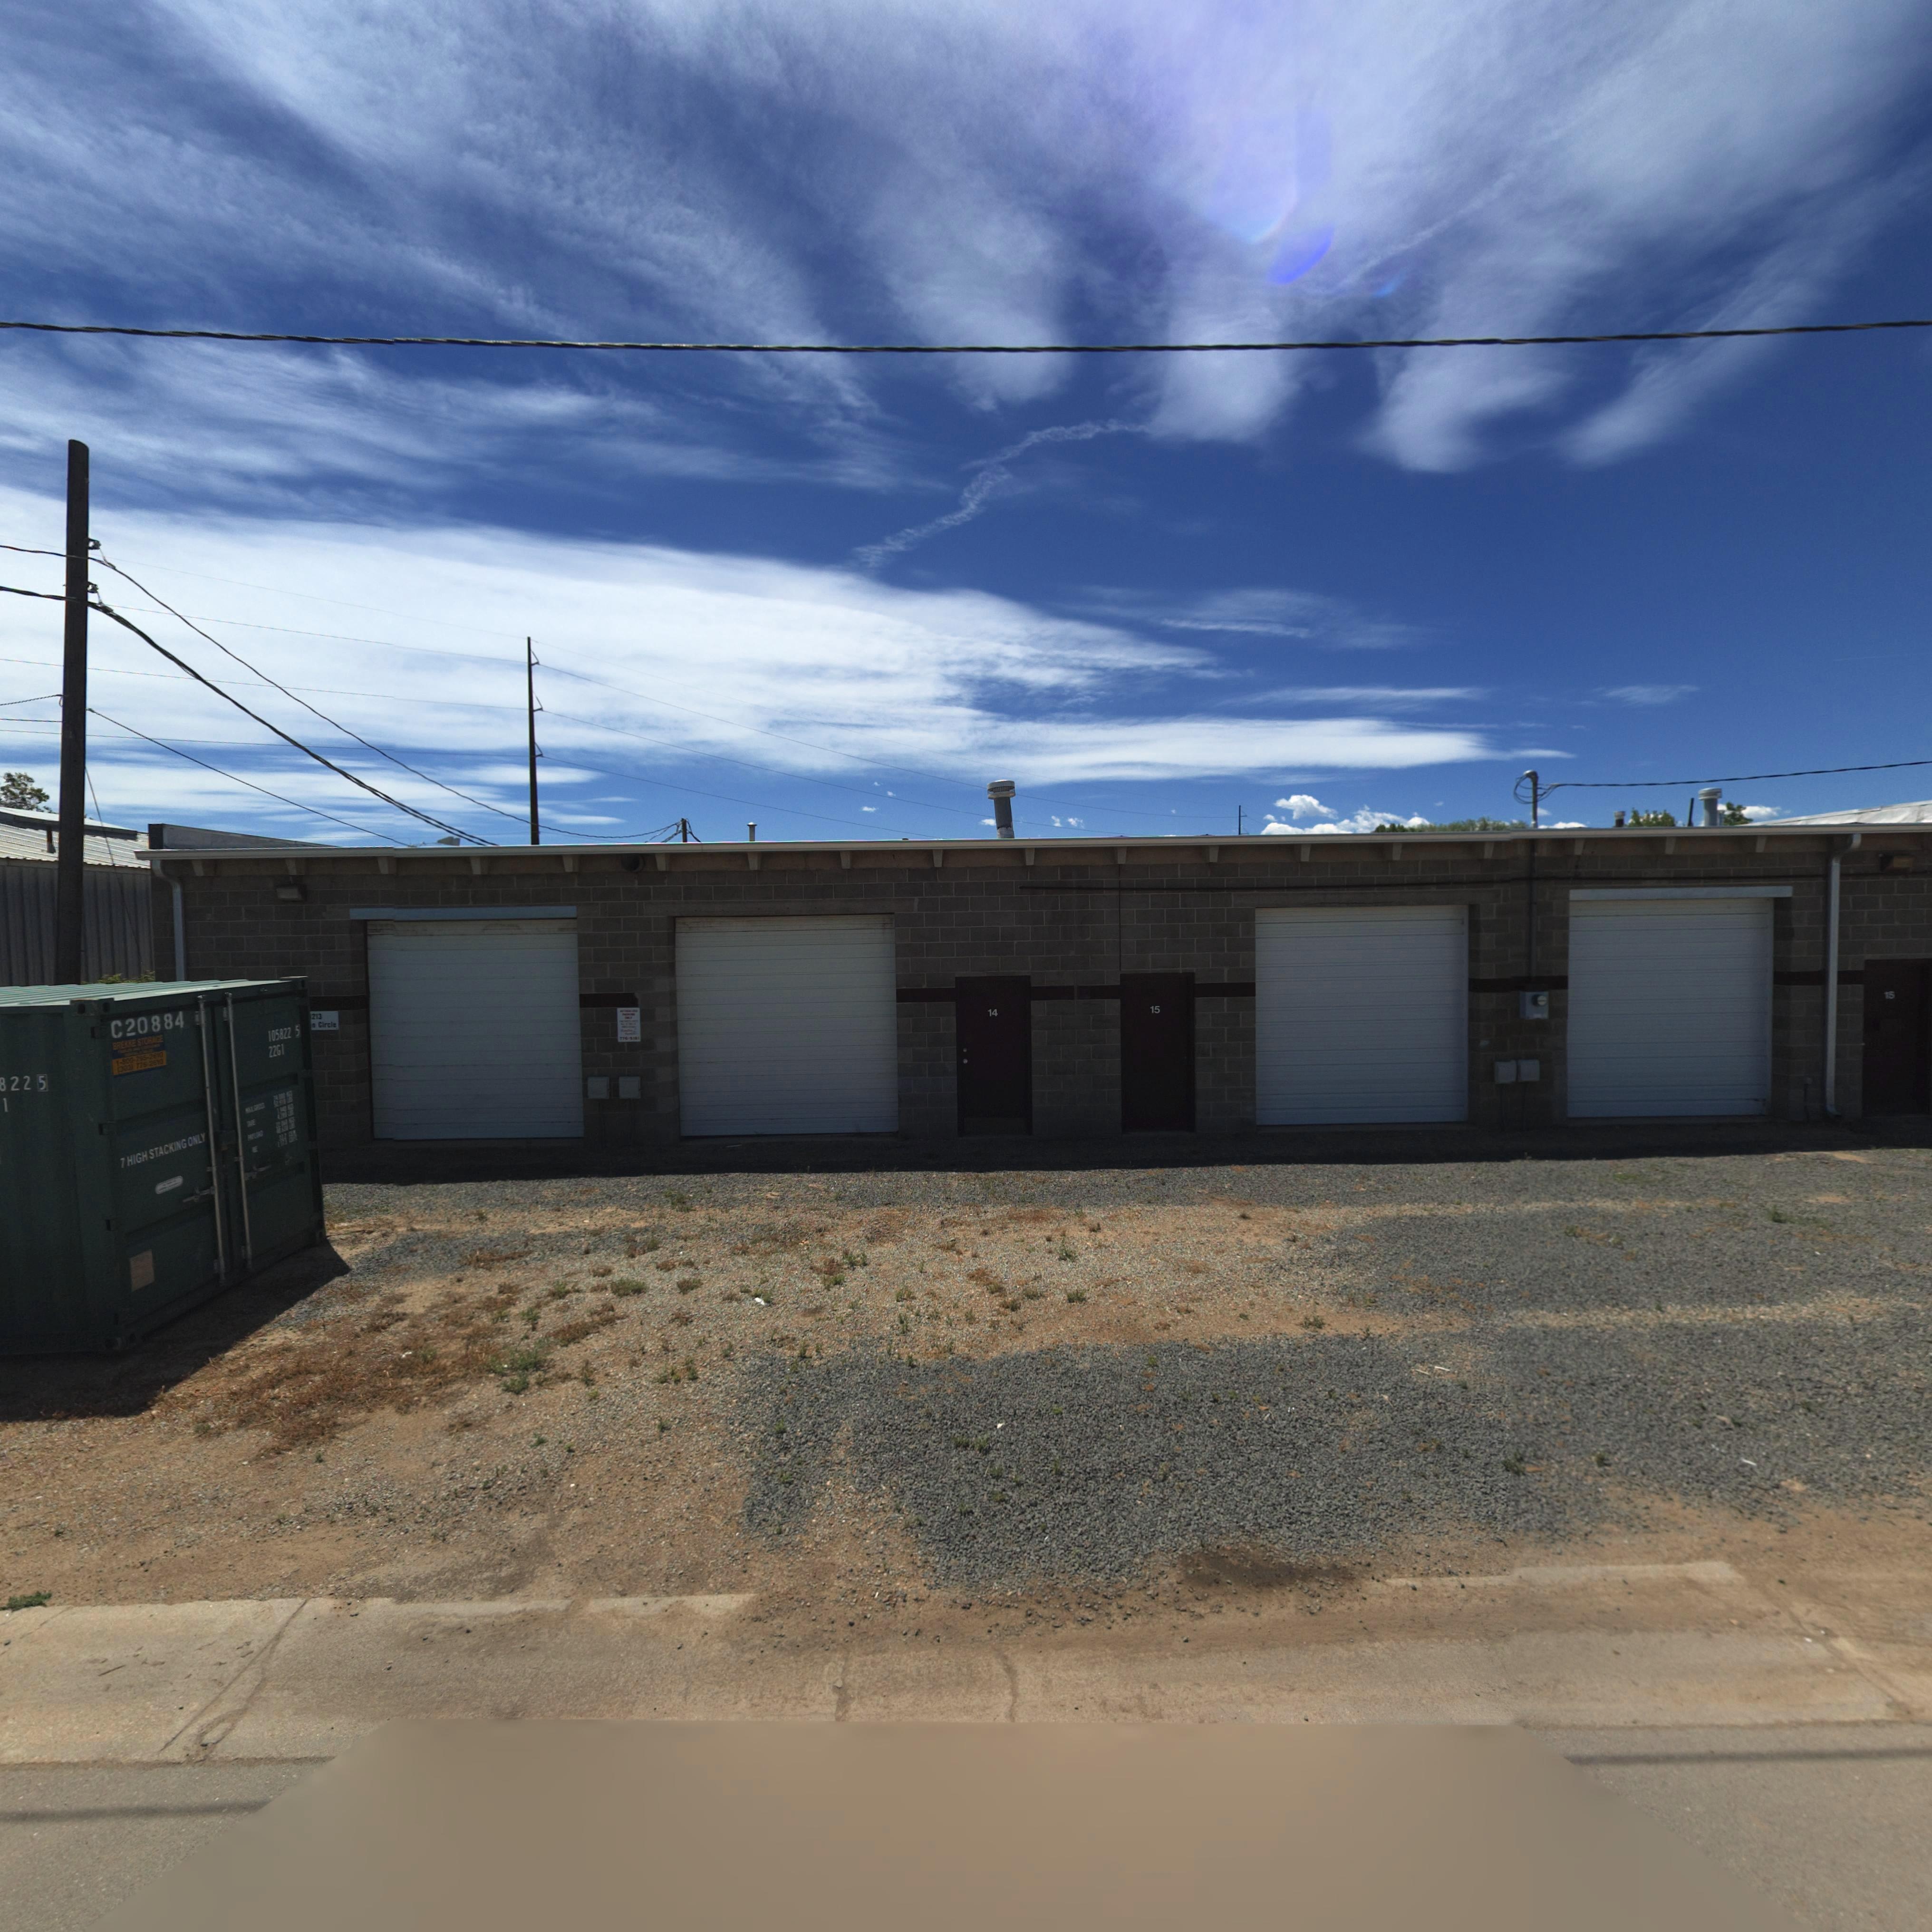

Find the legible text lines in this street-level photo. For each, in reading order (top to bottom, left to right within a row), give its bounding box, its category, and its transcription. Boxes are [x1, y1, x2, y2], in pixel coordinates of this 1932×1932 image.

[311, 1014, 322, 1020] StreetNumber: 213